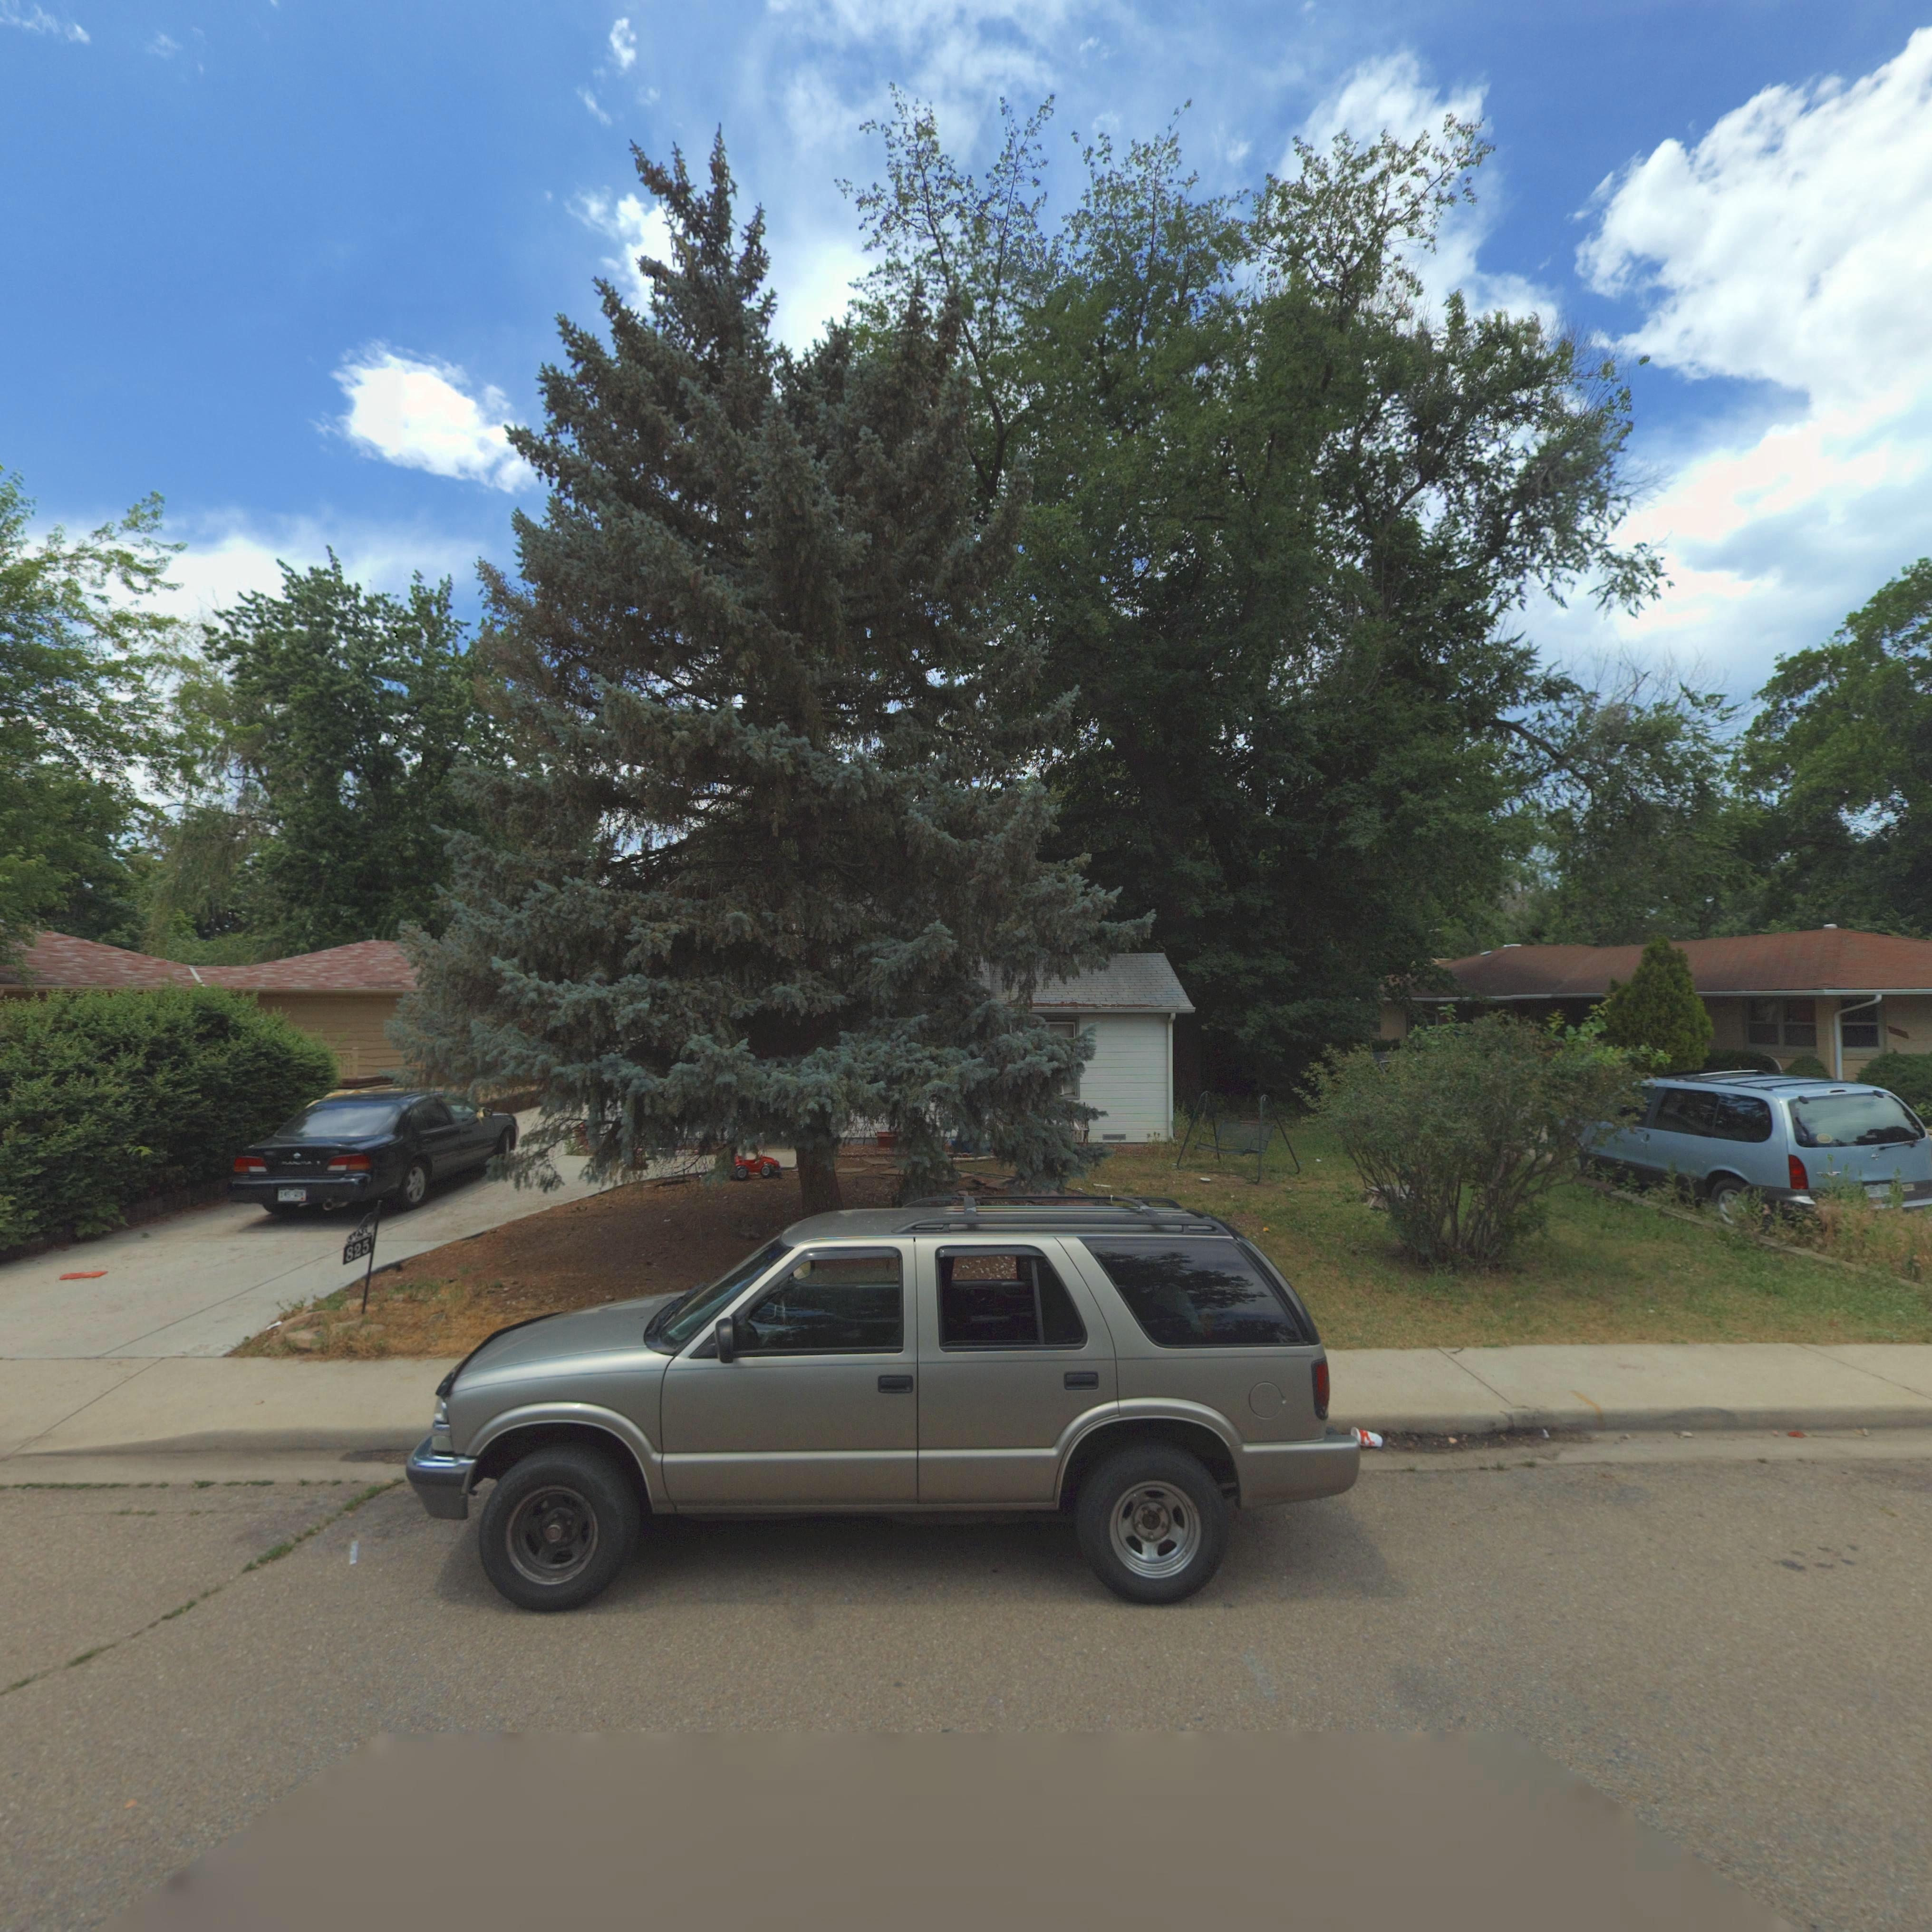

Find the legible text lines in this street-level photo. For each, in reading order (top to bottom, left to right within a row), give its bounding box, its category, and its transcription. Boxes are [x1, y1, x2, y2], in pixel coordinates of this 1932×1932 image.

[345, 1238, 369, 1263] StreetNumber: 825